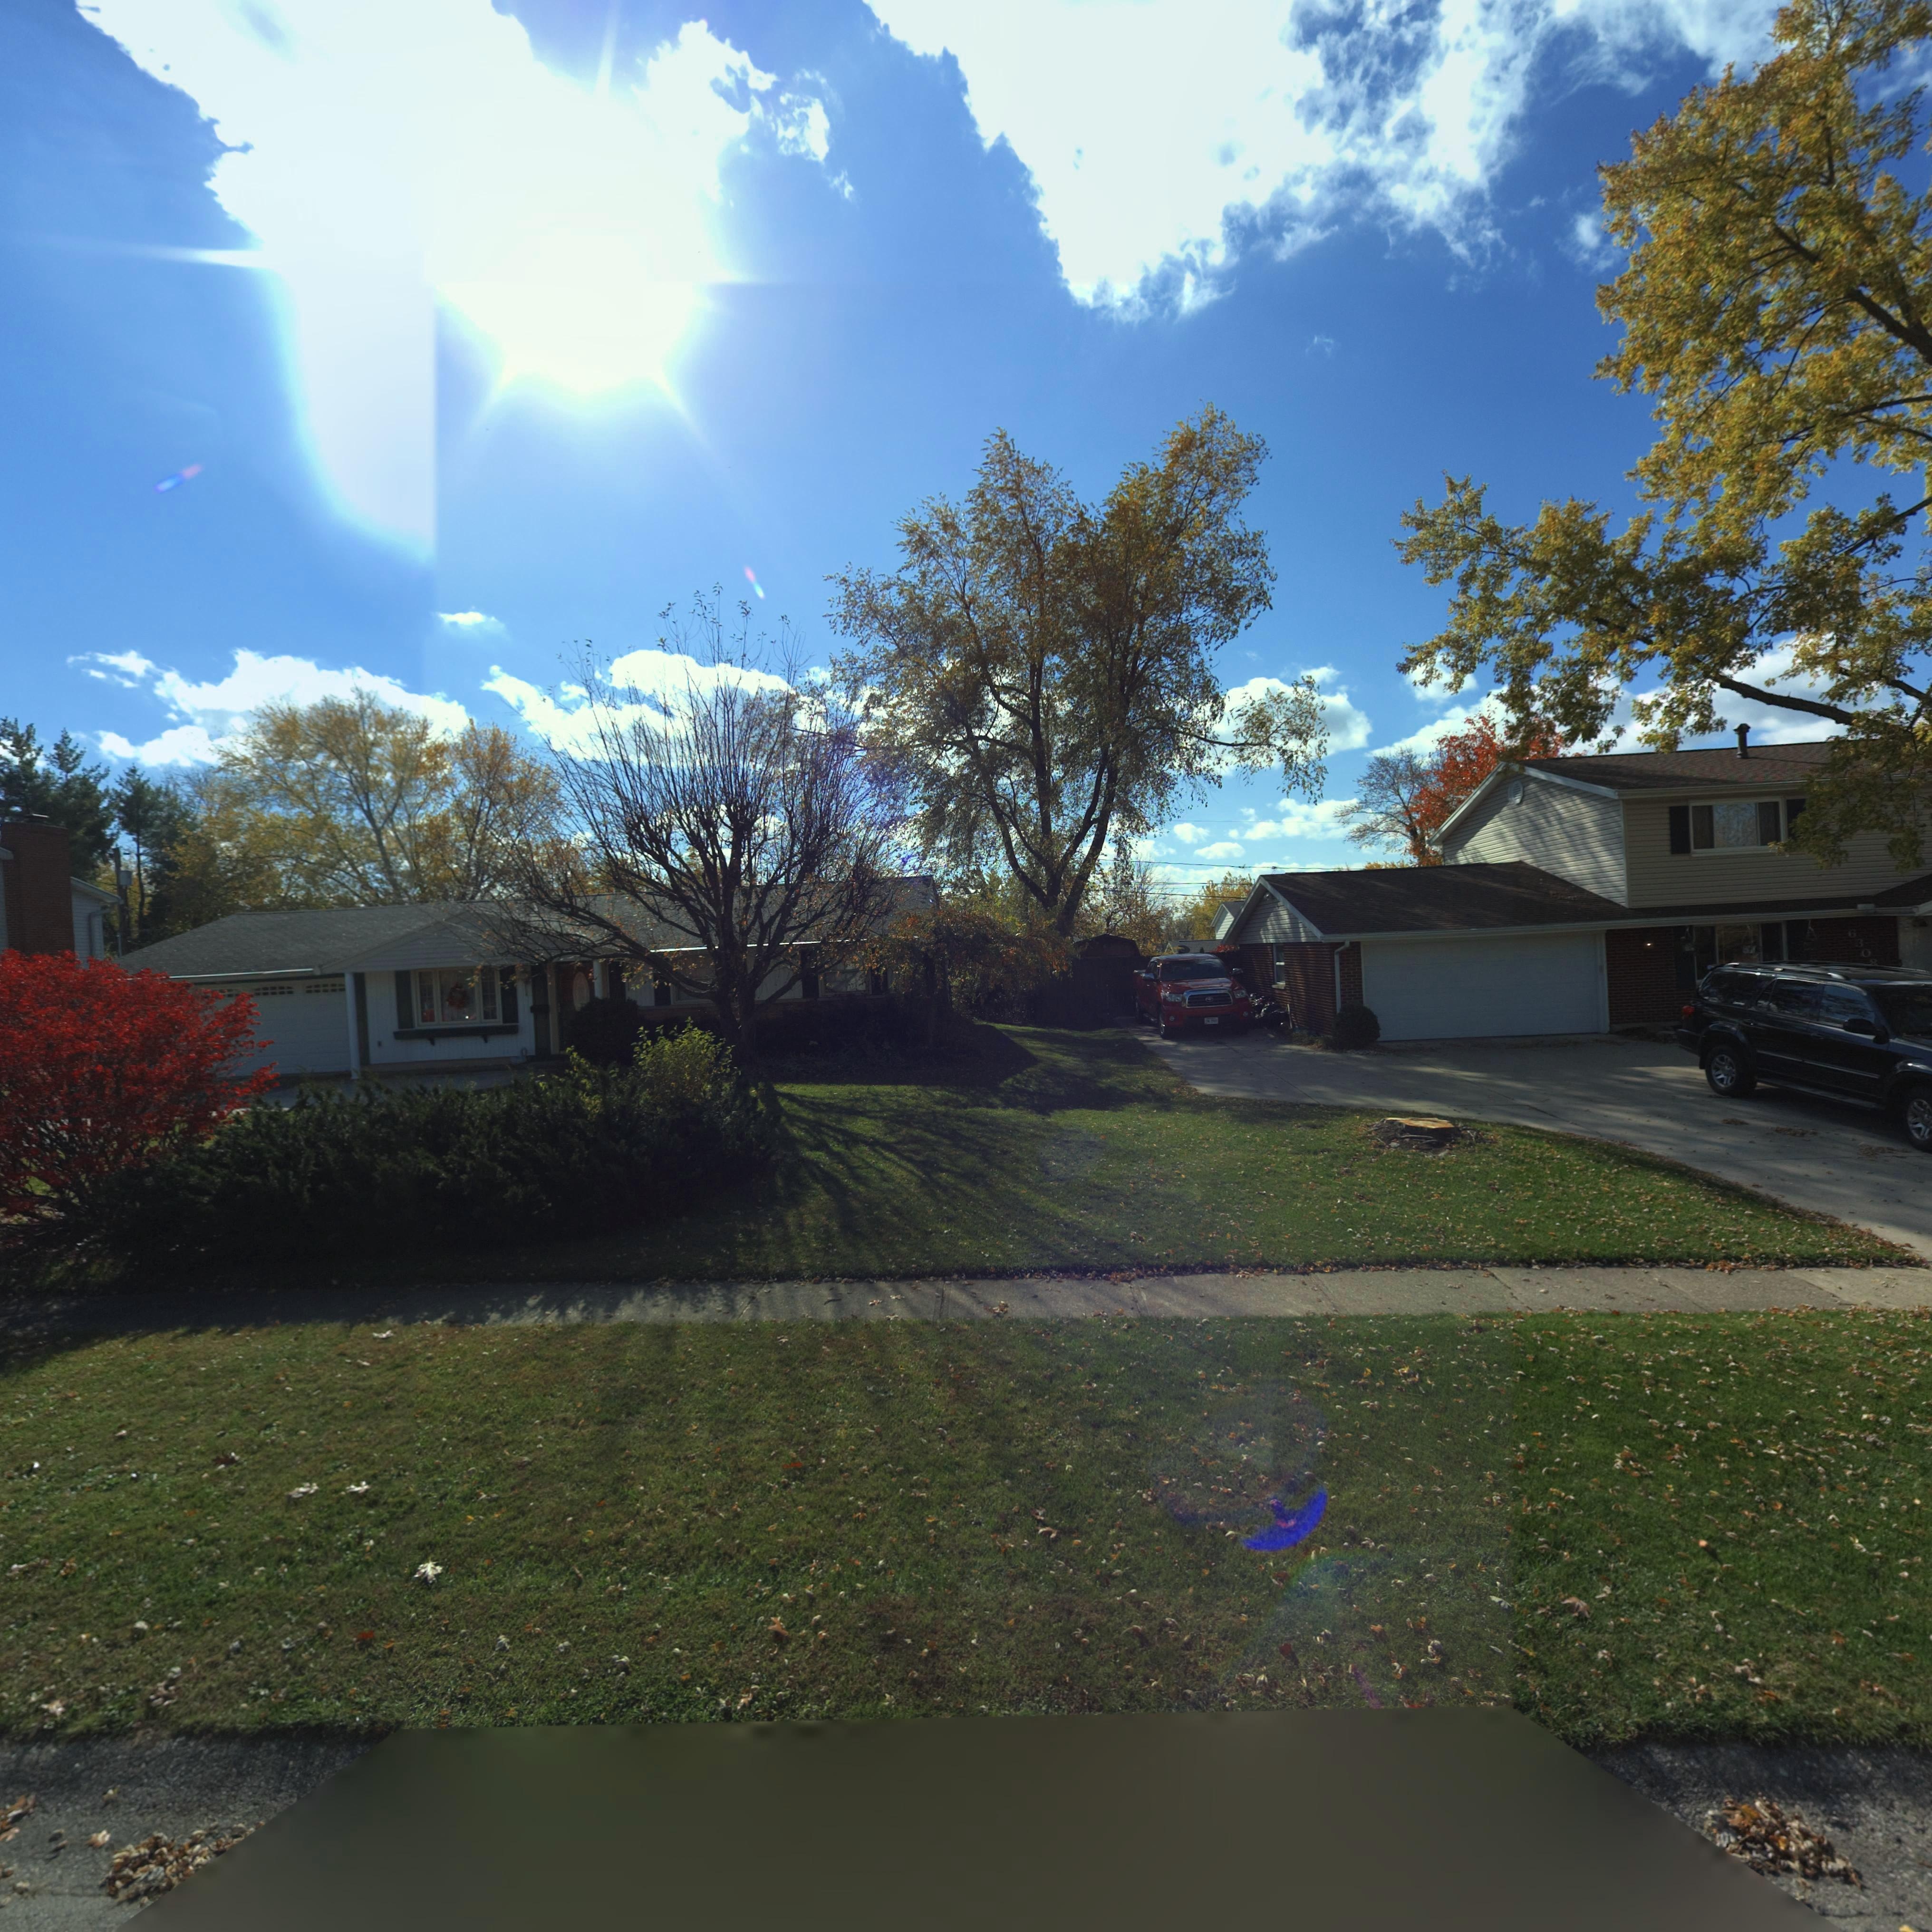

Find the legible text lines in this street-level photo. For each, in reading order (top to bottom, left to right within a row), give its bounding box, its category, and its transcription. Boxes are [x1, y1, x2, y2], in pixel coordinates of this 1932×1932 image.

[1847, 928, 1872, 958] StreetNumber: 630